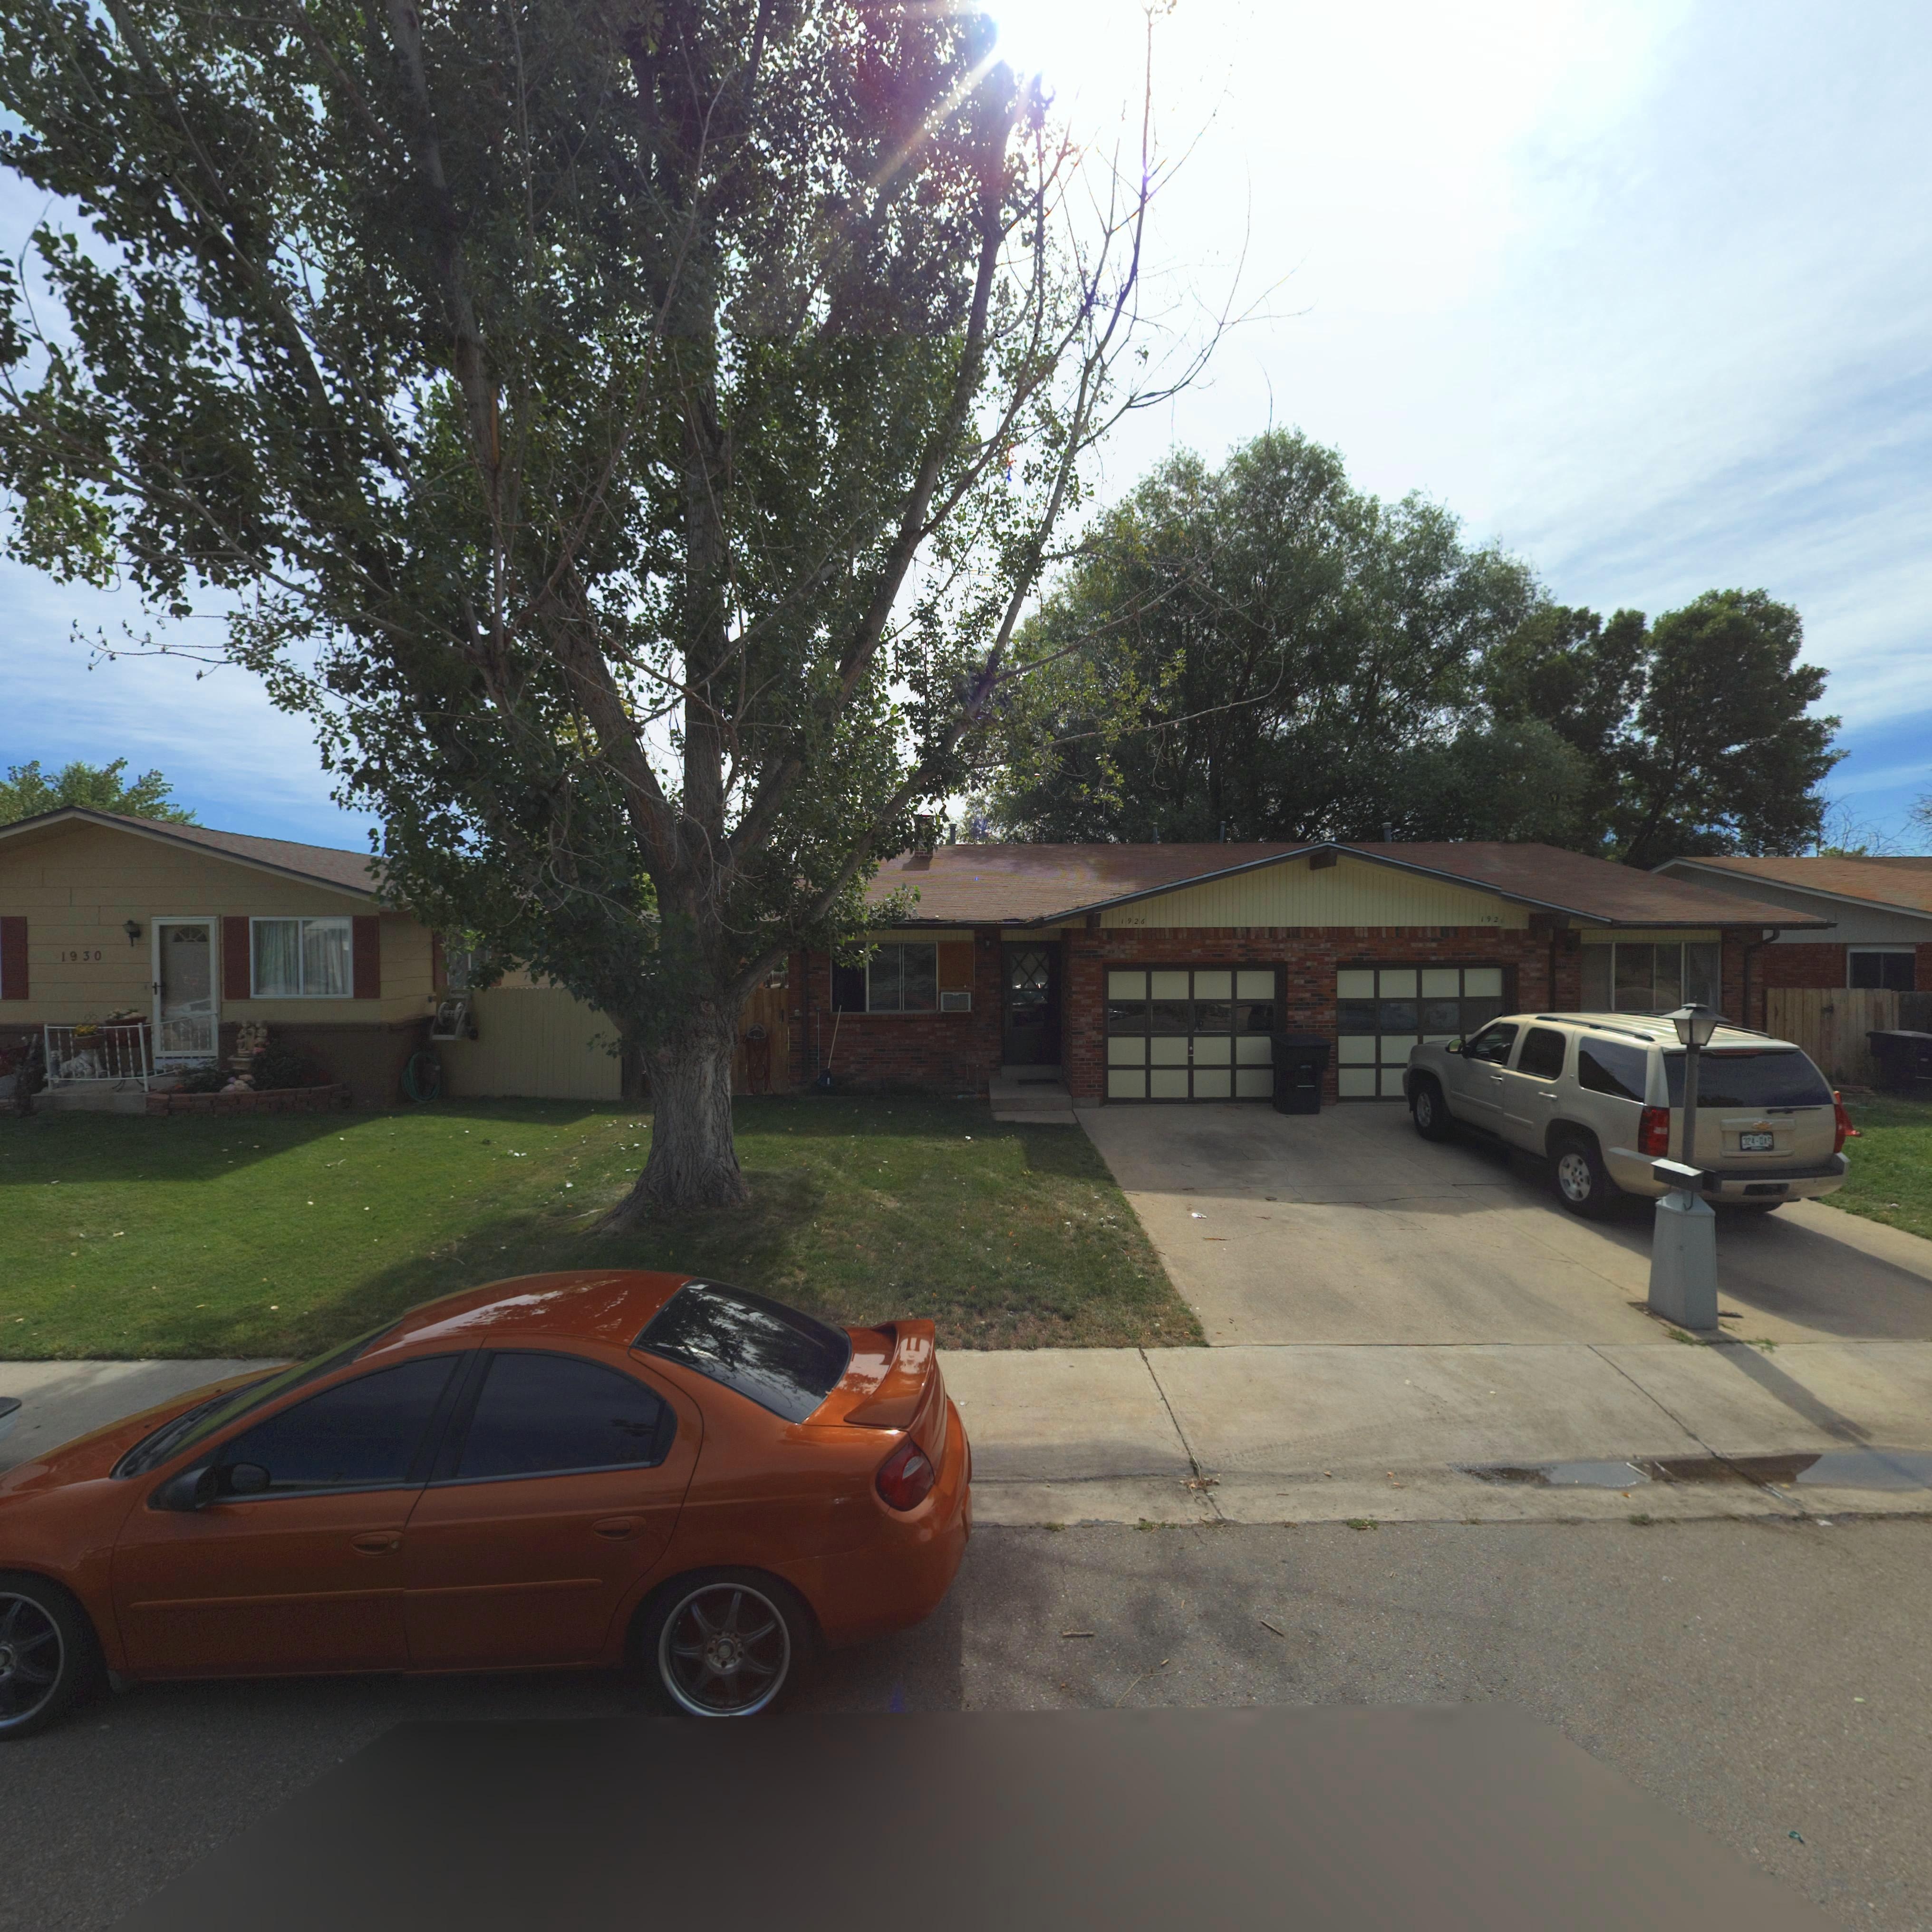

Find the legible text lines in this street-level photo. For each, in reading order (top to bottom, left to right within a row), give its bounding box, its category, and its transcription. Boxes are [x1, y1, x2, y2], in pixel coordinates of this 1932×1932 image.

[1120, 917, 1146, 924] StreetNumber: 1926
[1480, 915, 1498, 923] StreetNumber: 192
[60, 949, 102, 962] StreetNumber: 1930